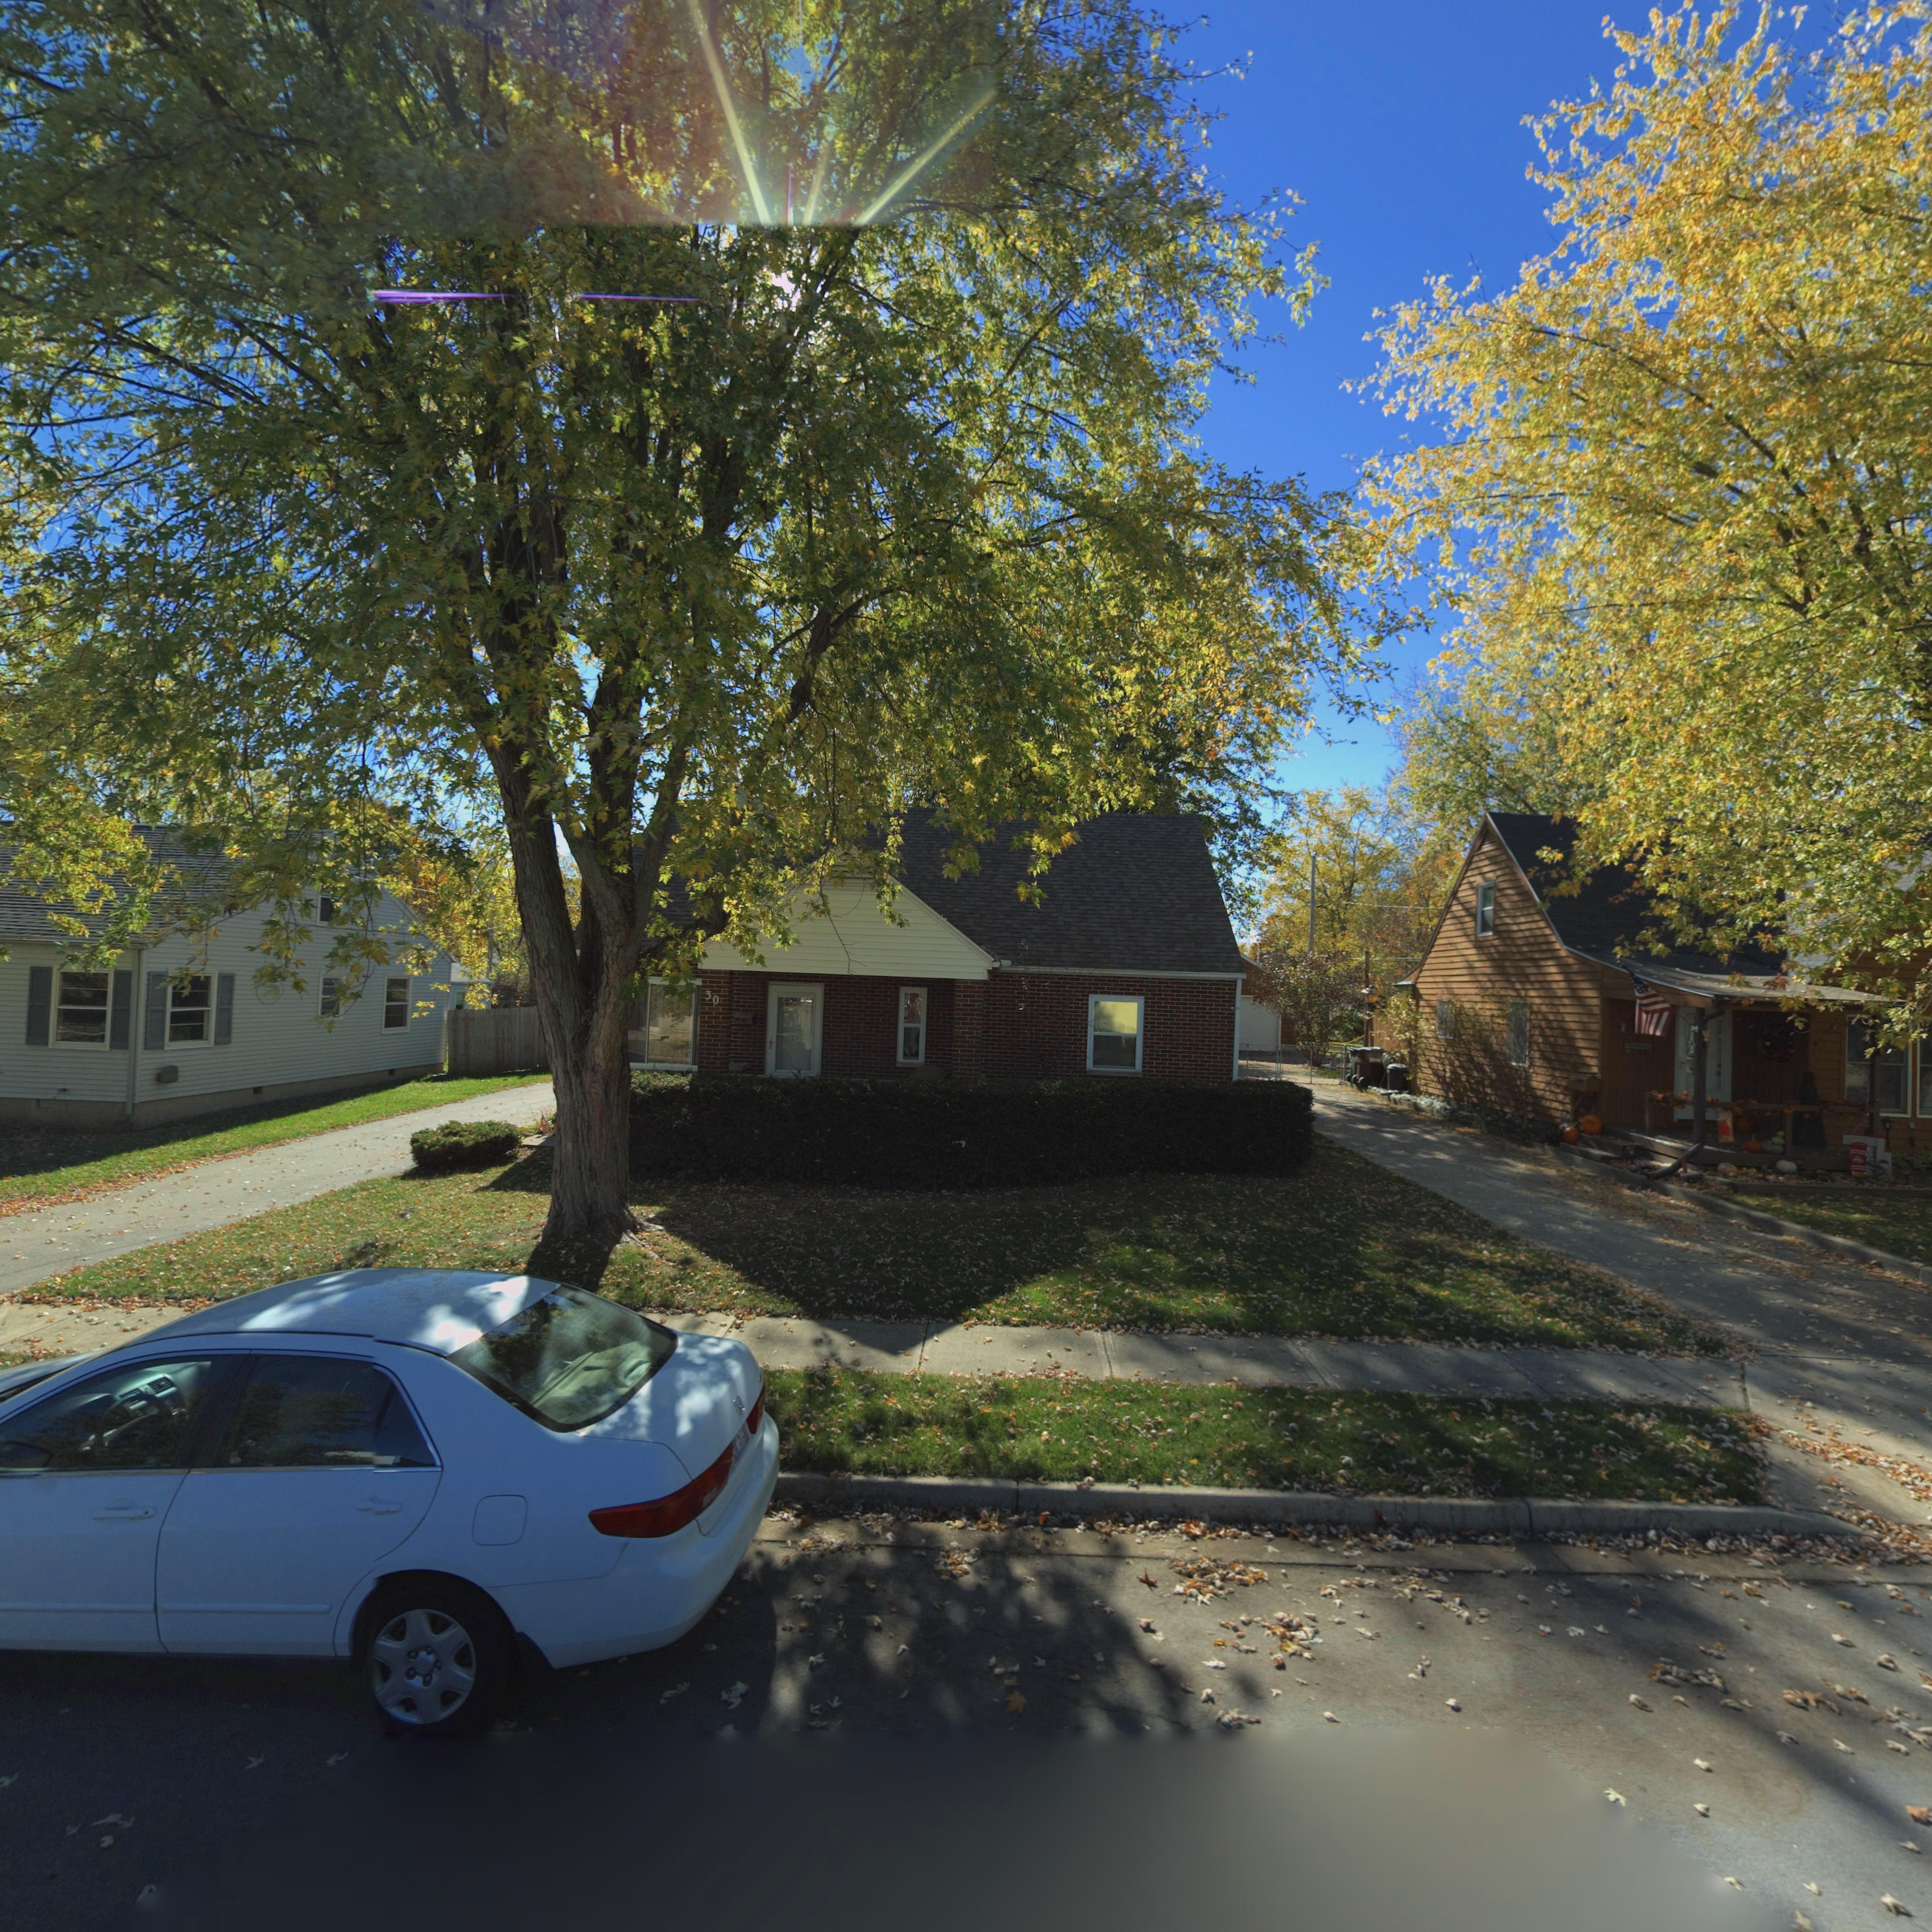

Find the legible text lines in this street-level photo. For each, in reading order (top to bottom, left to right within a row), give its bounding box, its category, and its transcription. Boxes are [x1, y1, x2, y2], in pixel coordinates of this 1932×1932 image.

[704, 990, 721, 1006] StreetNumber: 30